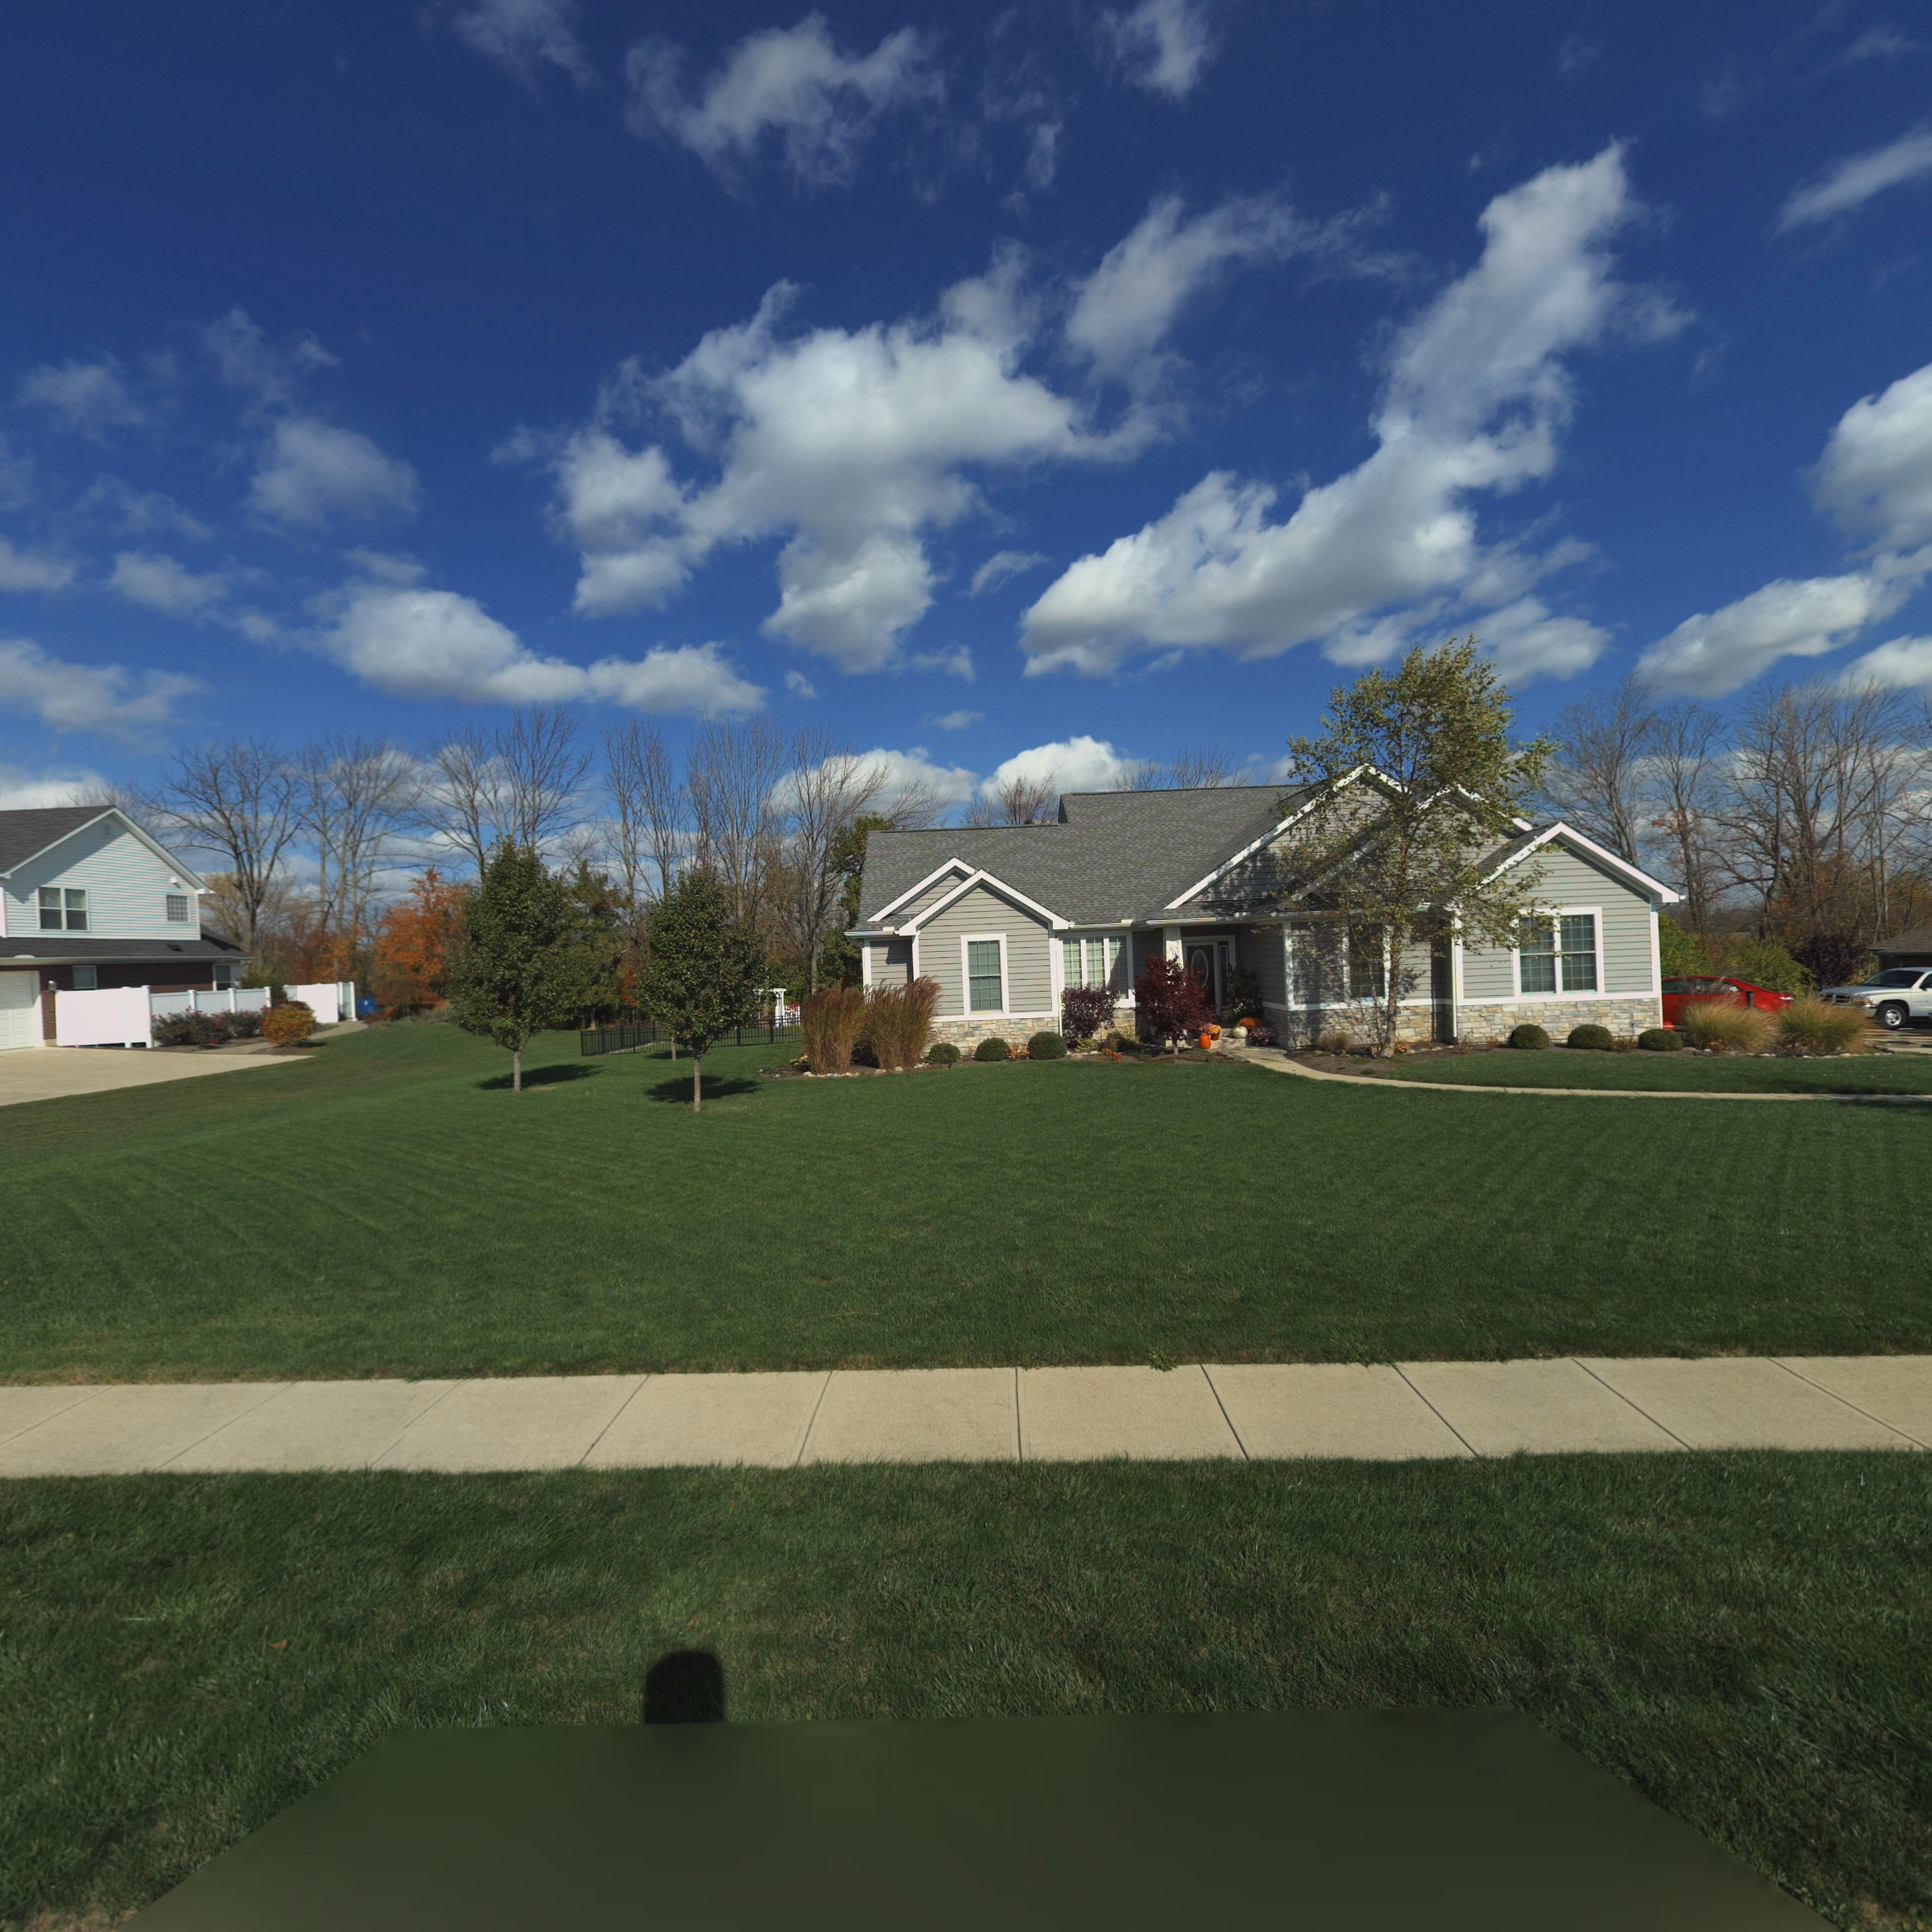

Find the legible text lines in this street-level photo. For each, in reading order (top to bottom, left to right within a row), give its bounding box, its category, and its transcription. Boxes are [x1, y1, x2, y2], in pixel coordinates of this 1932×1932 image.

[1169, 945, 1177, 958] StreetNumber: 69